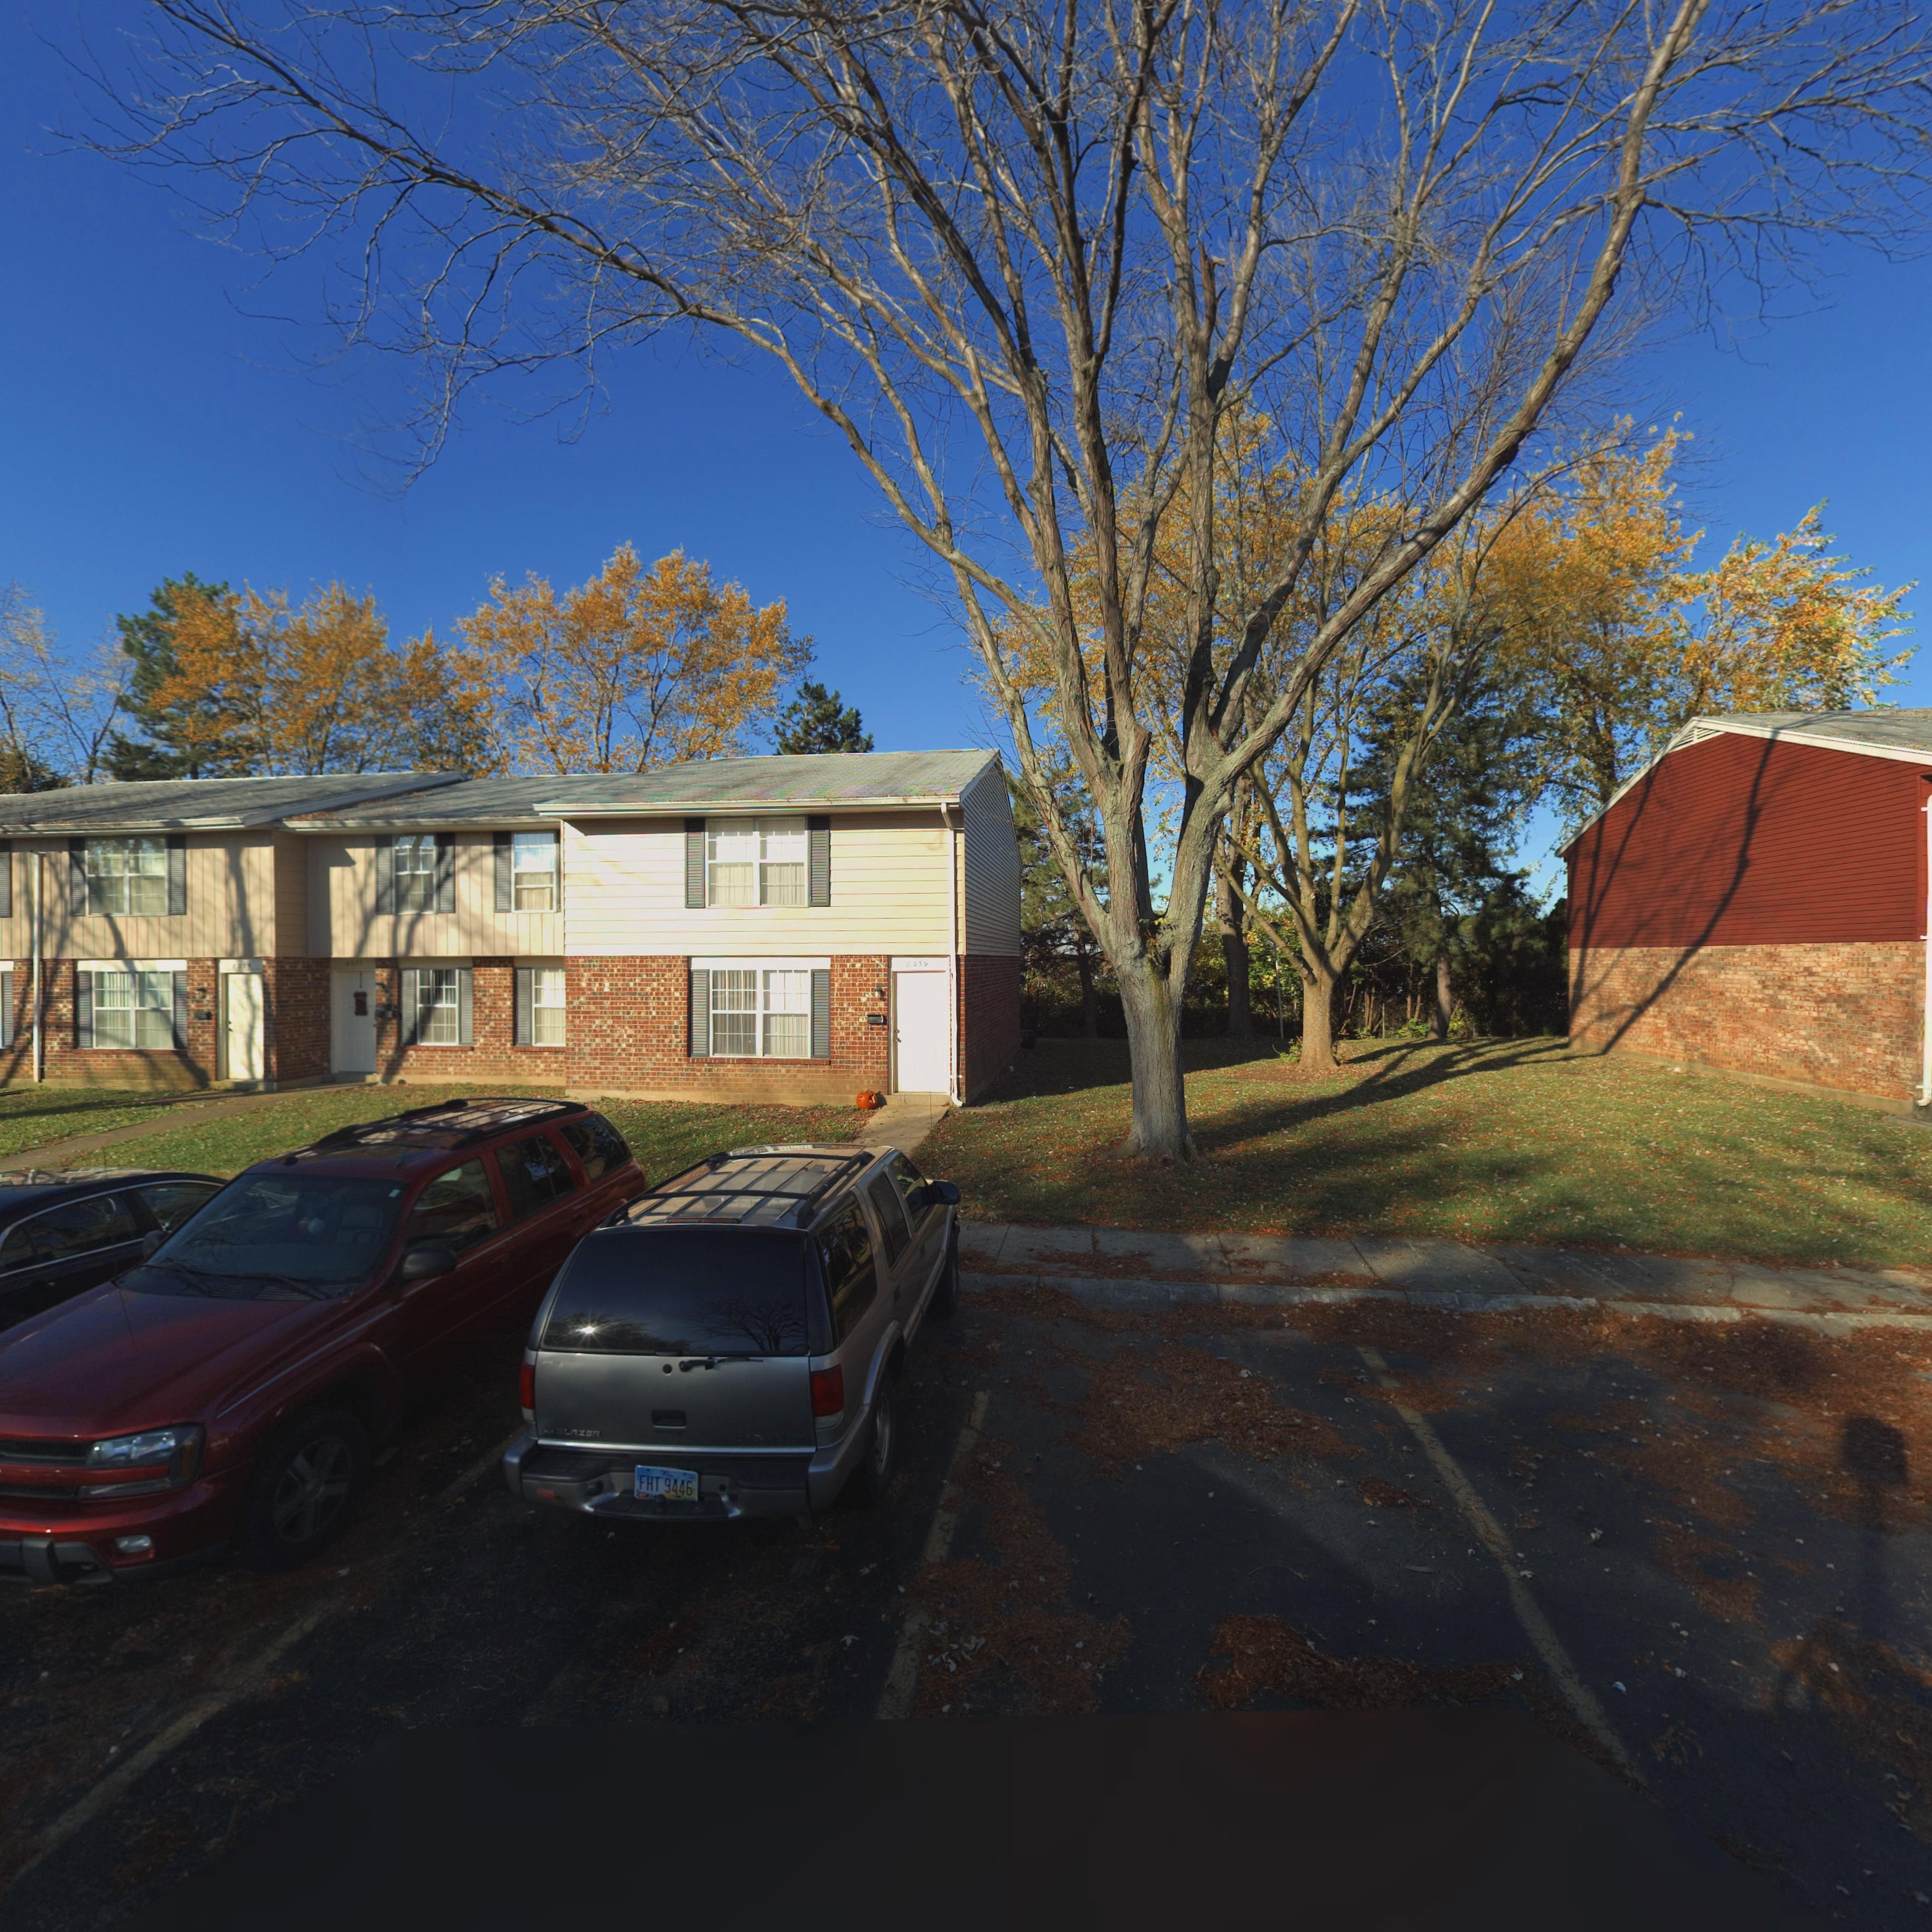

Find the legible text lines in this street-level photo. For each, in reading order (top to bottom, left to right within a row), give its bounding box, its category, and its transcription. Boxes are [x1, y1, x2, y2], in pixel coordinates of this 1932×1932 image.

[231, 963, 252, 969] StreetNumber: 8235
[344, 959, 363, 966] StreetNumber: 8237
[905, 960, 928, 968] StreetNumber: 8239